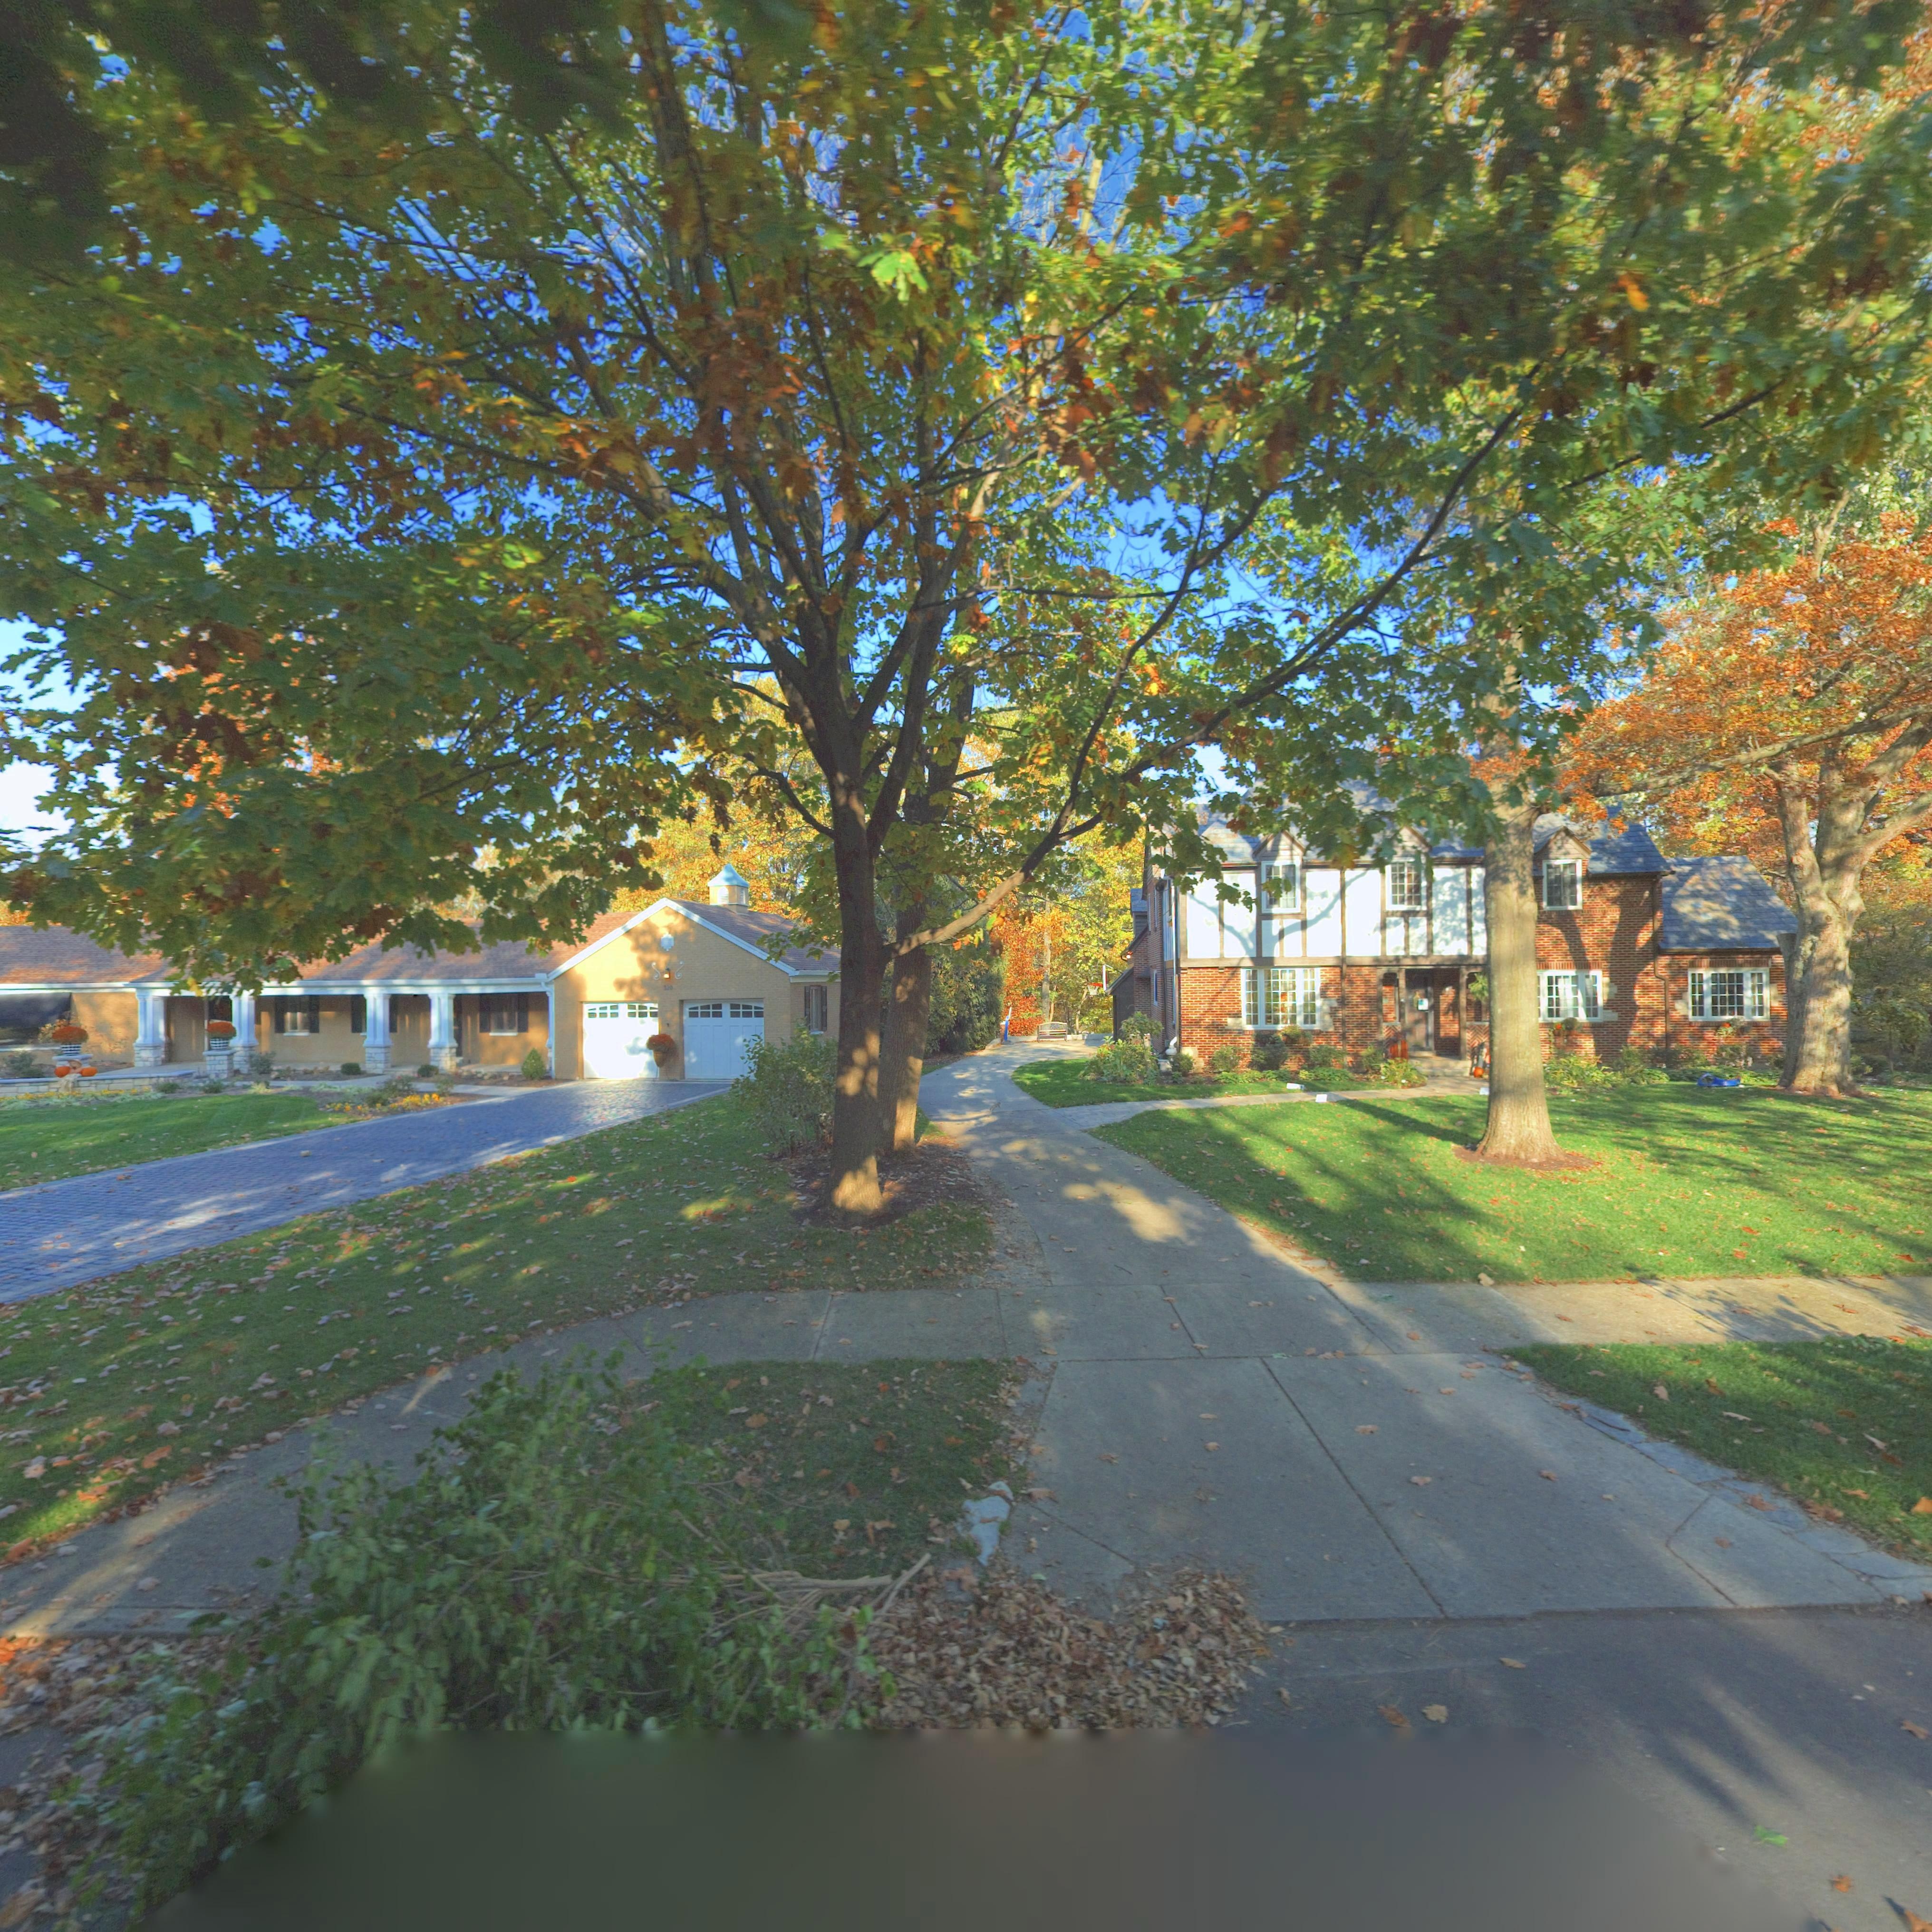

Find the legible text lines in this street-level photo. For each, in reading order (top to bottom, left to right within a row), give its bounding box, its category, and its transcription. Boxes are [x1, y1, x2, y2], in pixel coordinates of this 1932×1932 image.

[662, 984, 674, 992] StreetNumber: 320